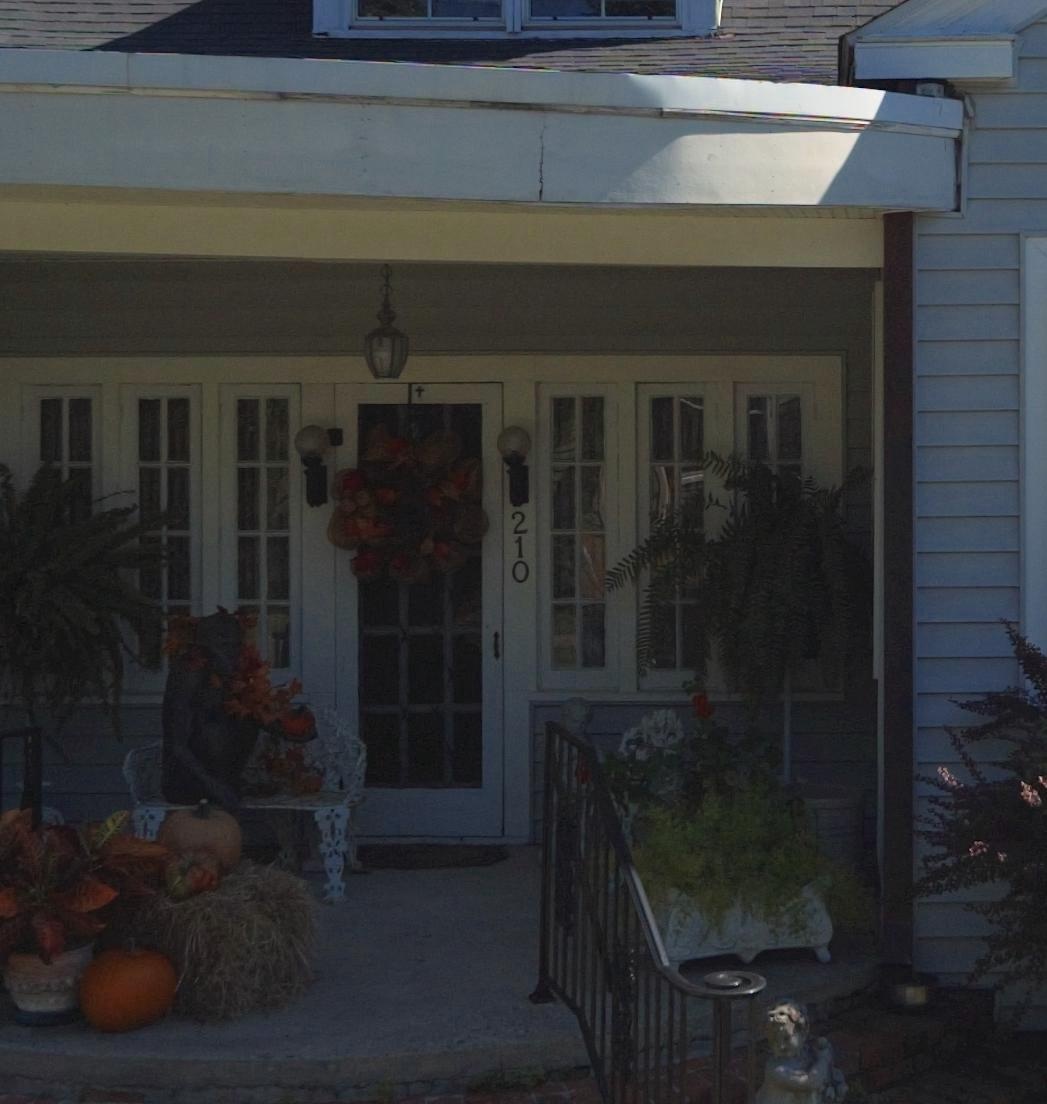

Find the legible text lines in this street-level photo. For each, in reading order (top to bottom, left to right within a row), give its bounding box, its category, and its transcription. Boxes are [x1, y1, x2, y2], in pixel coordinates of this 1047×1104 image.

[511, 510, 530, 584] StreetNumber: 210